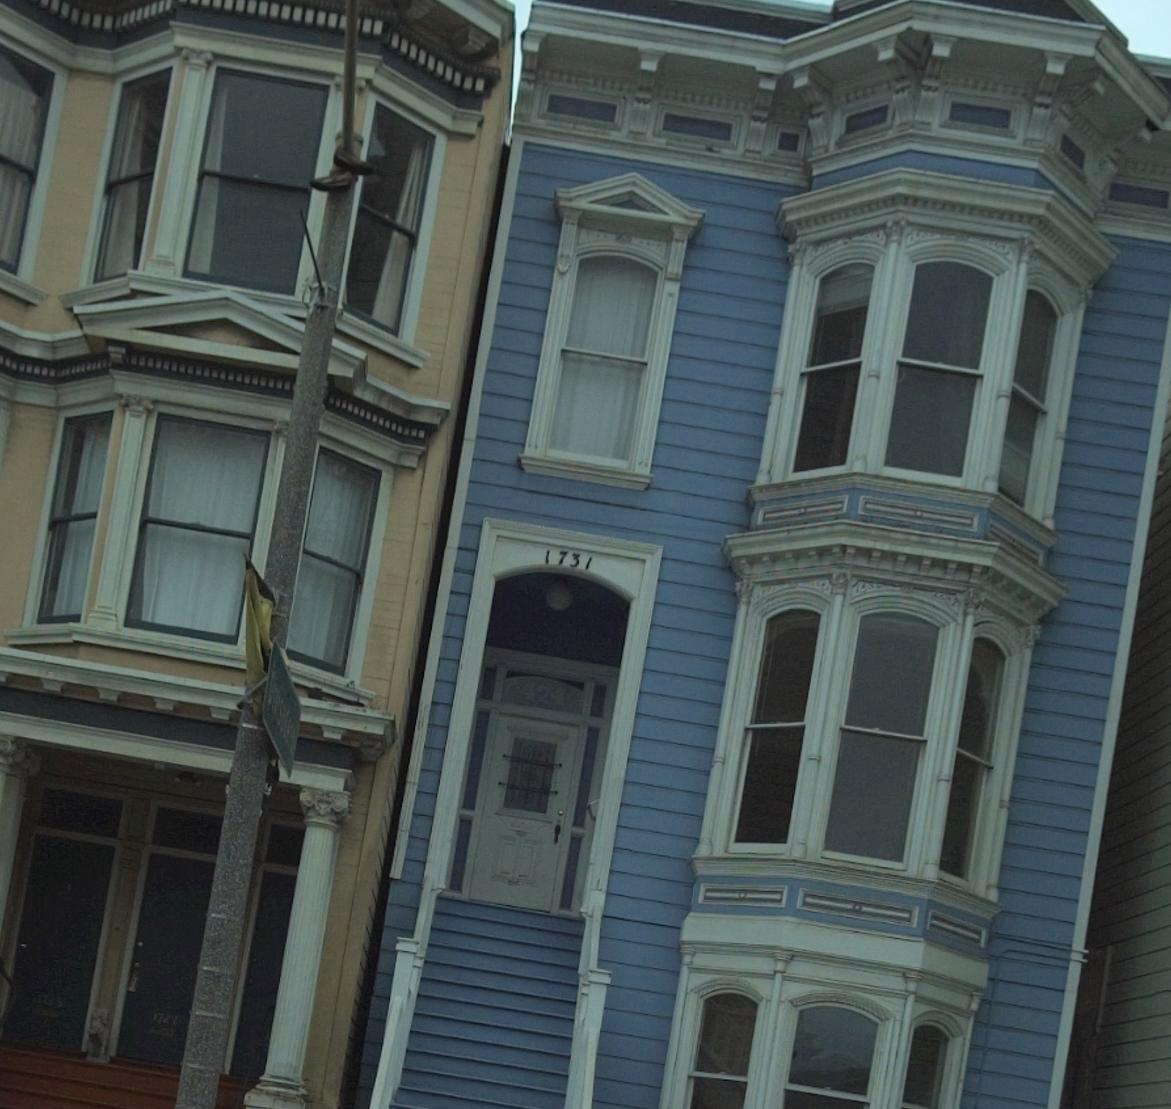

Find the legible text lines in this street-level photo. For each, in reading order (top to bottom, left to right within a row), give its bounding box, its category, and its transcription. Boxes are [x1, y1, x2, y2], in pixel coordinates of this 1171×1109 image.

[544, 546, 595, 573] StreetNumber: 1731
[148, 1008, 181, 1029] StreetNumber: 1727